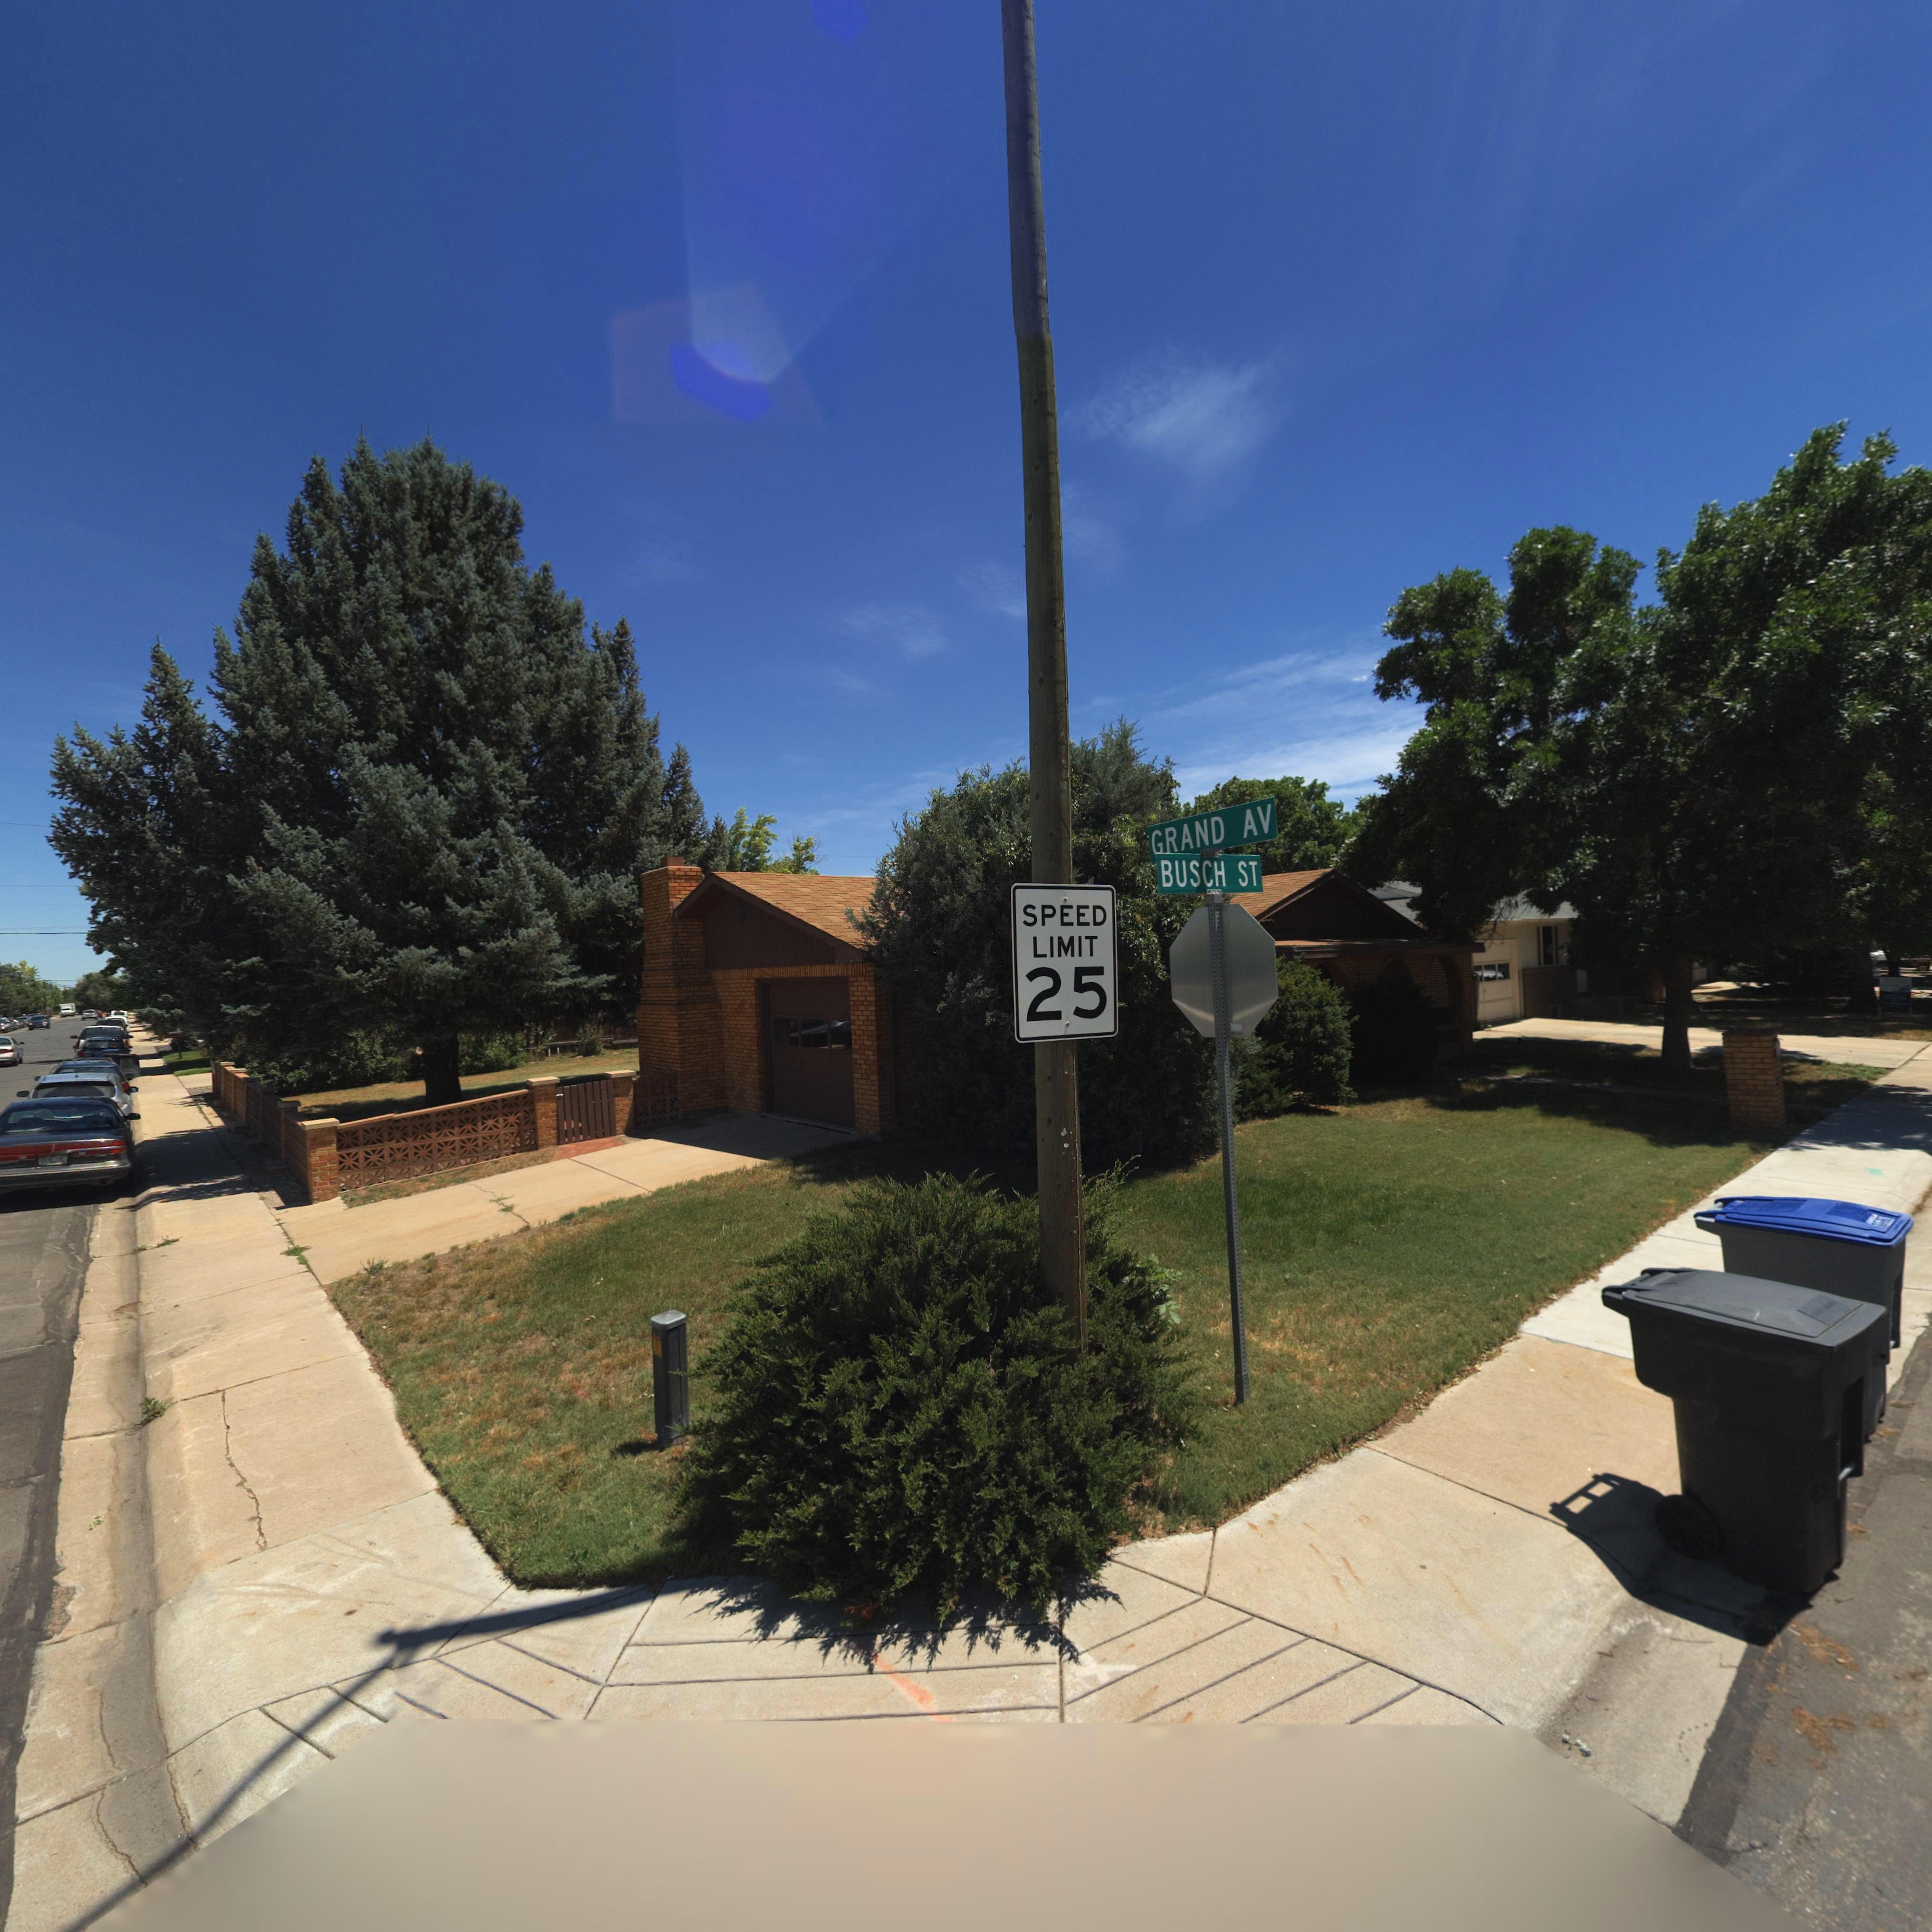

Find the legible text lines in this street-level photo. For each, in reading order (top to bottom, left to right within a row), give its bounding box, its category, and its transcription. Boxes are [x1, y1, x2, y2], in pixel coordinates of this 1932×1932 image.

[1150, 802, 1272, 856] StreetName: GRAND AV
[1160, 859, 1257, 888] StreetName: BUSCH ST